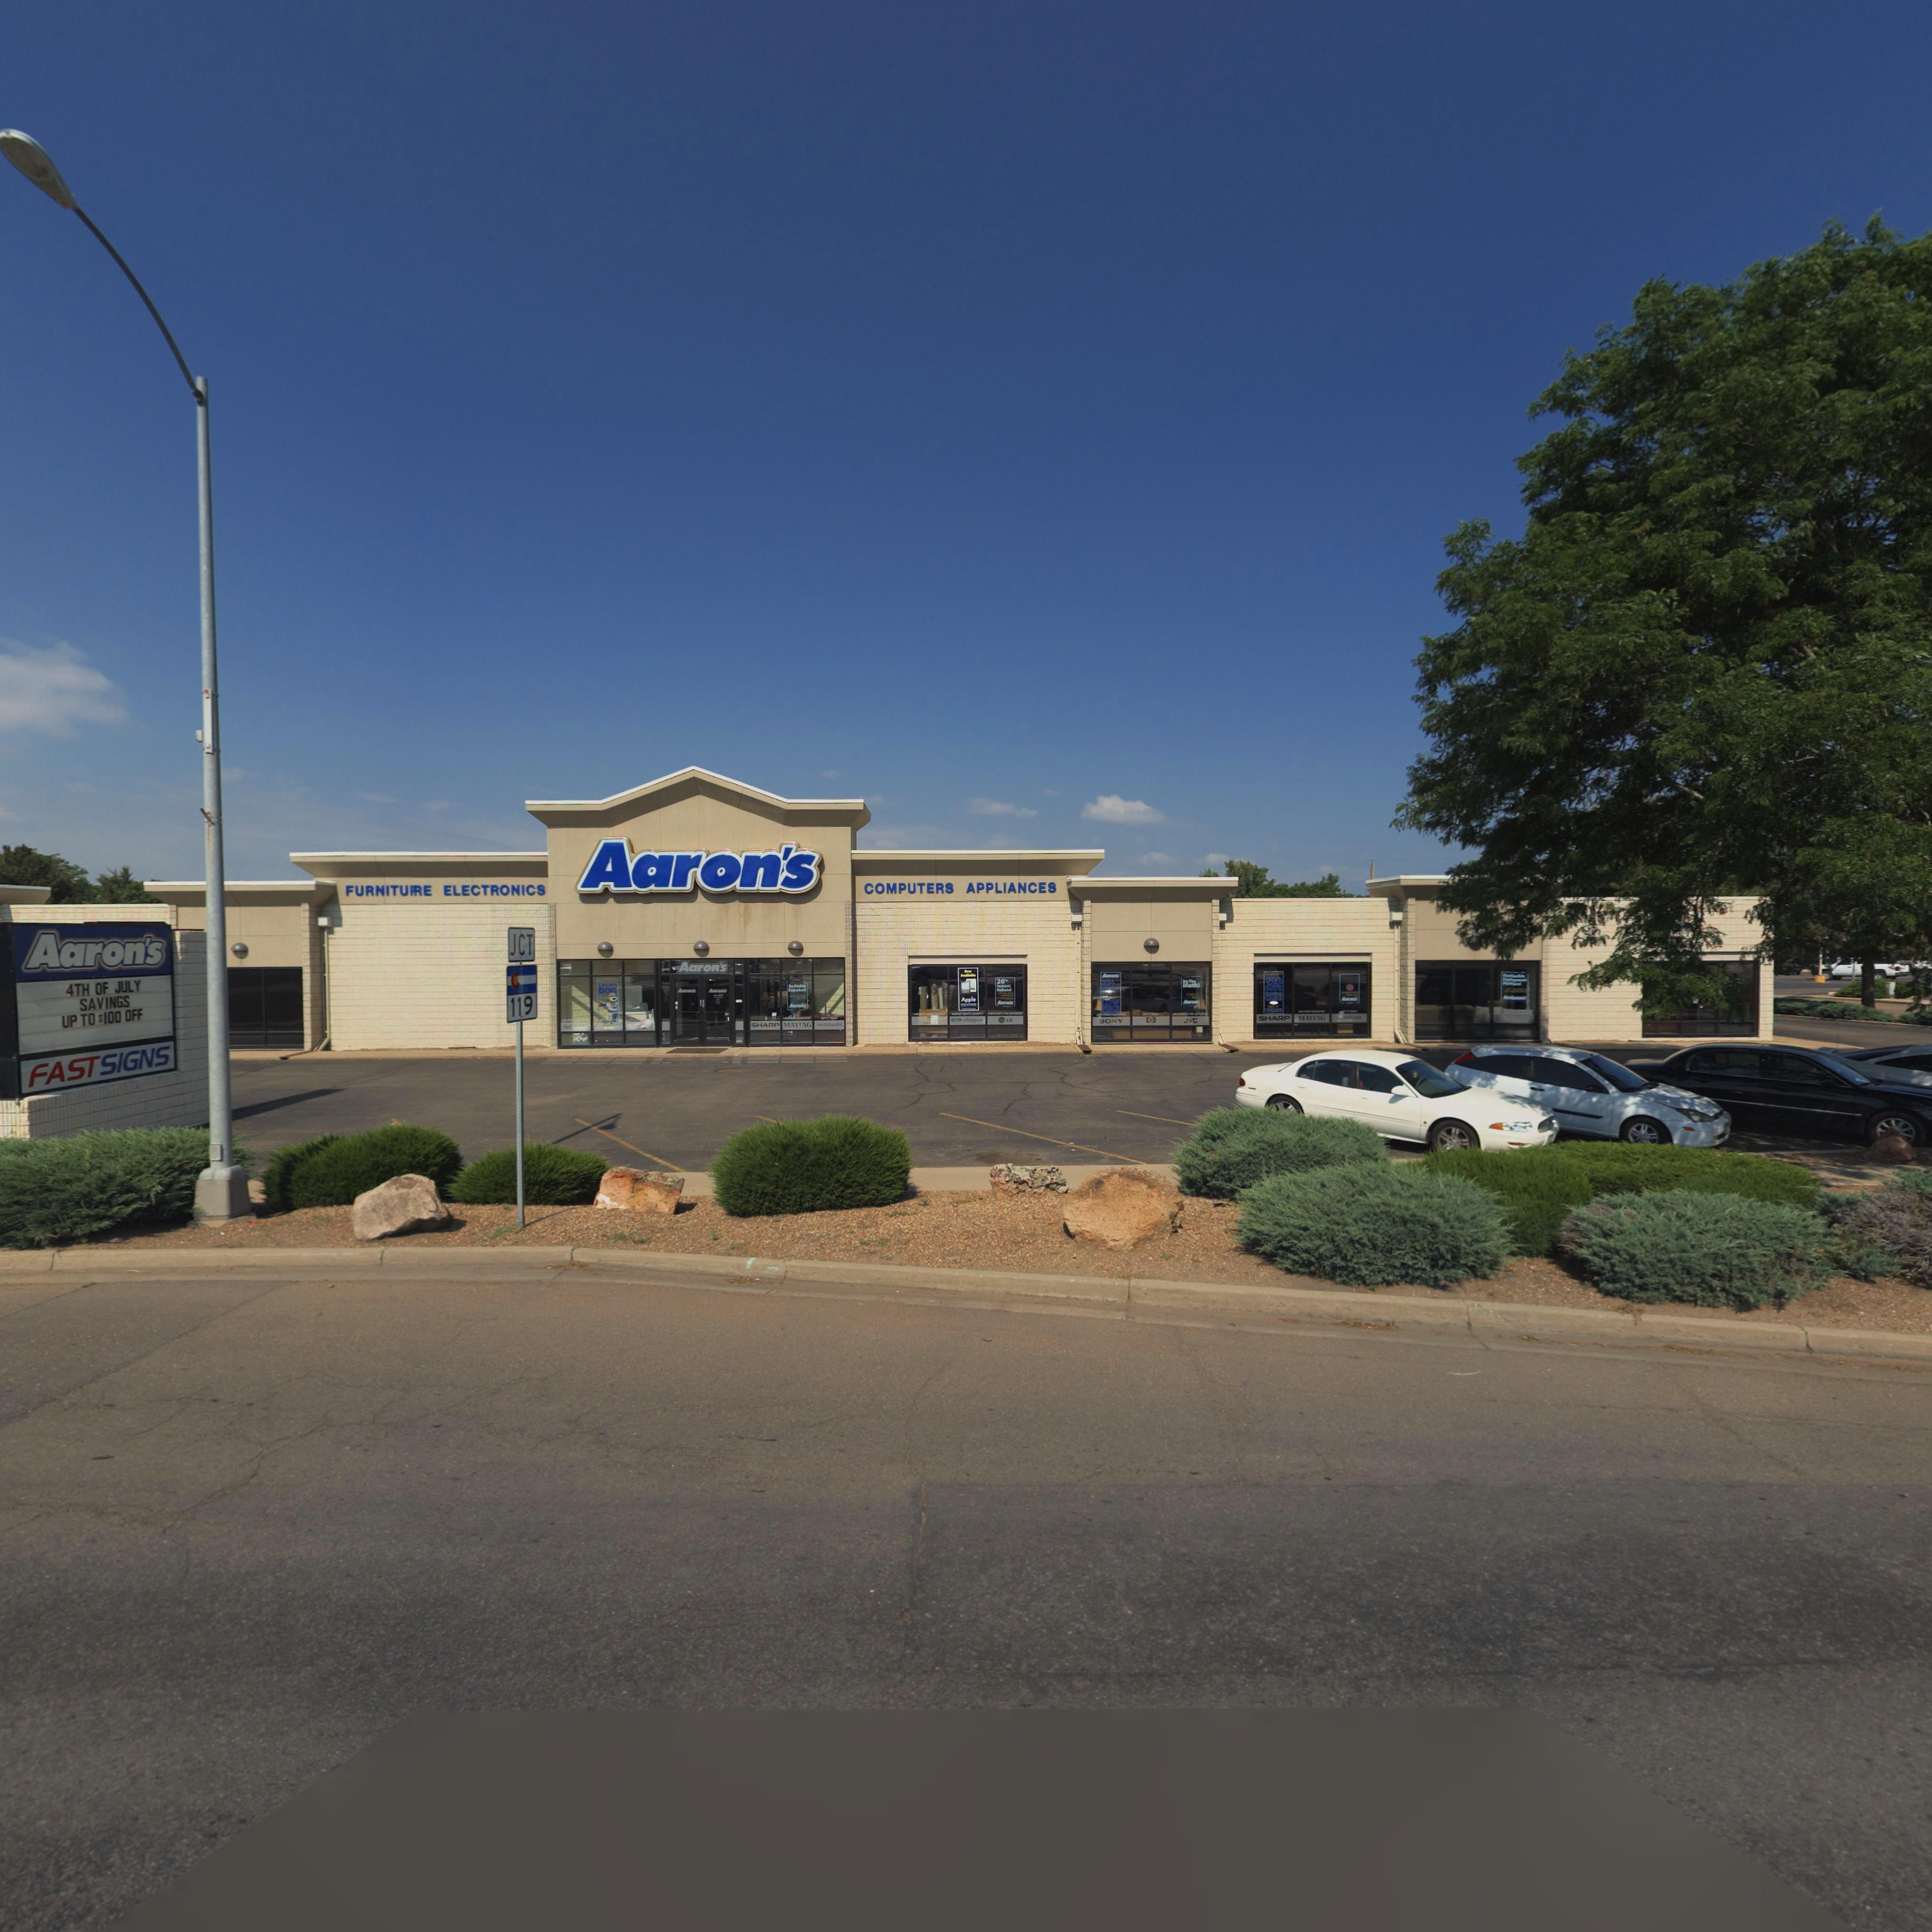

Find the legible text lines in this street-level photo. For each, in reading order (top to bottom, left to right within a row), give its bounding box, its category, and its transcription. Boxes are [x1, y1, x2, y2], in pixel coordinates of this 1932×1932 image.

[574, 835, 823, 895] BusinessName: Aaron's
[20, 928, 167, 973] BusinessName: Aaron's
[676, 960, 727, 973] BusinessName: Aaron's
[1101, 973, 1119, 978] BusinessName: Aaron's
[677, 987, 696, 993] BusinessName: Aaron's
[708, 987, 727, 993] BusinessName: Aaron's
[1341, 996, 1358, 1001] BusinessName: Aaron's
[996, 1000, 1014, 1005] BusinessName: Aaron's
[1182, 999, 1199, 1005] BusinessName: Aaron's
[788, 1003, 805, 1008] BusinessName: Aaron's
[28, 1045, 170, 1088] BusinessName: FAST SIGNS